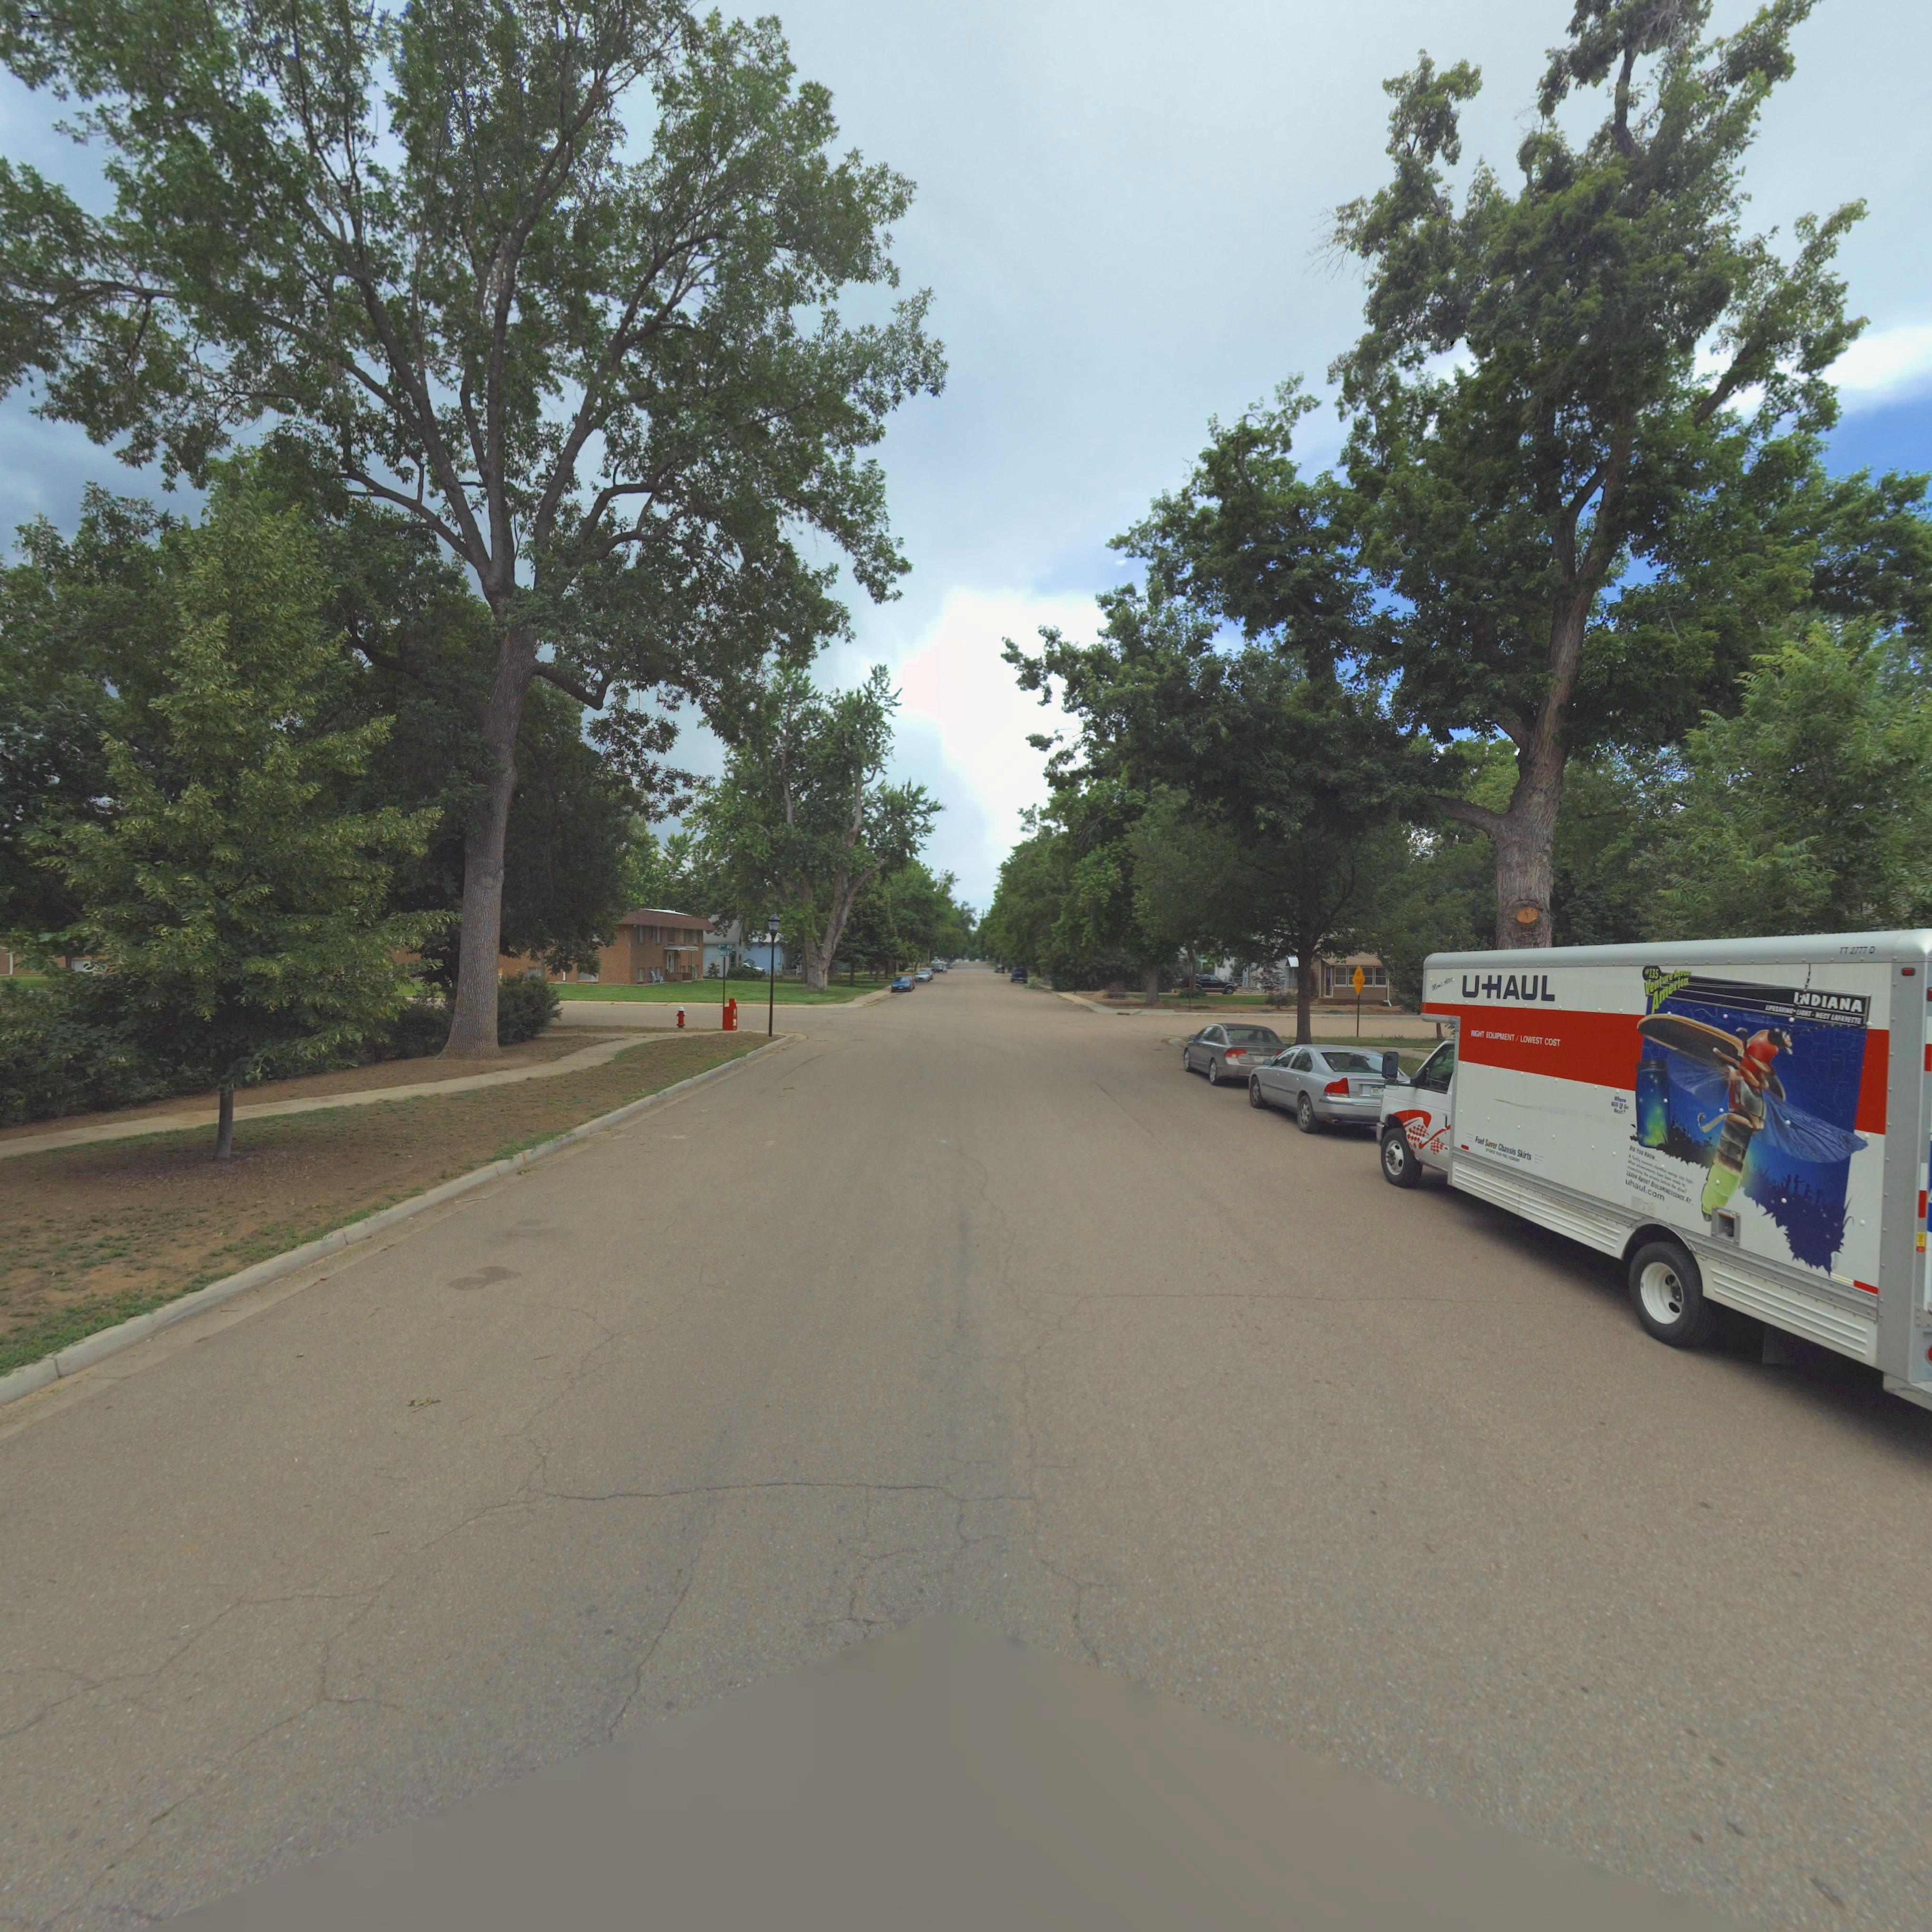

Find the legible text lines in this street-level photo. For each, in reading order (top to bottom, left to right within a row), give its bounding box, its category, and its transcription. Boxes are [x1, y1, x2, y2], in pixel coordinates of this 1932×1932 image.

[718, 944, 733, 949] StreetName: 8TH AV